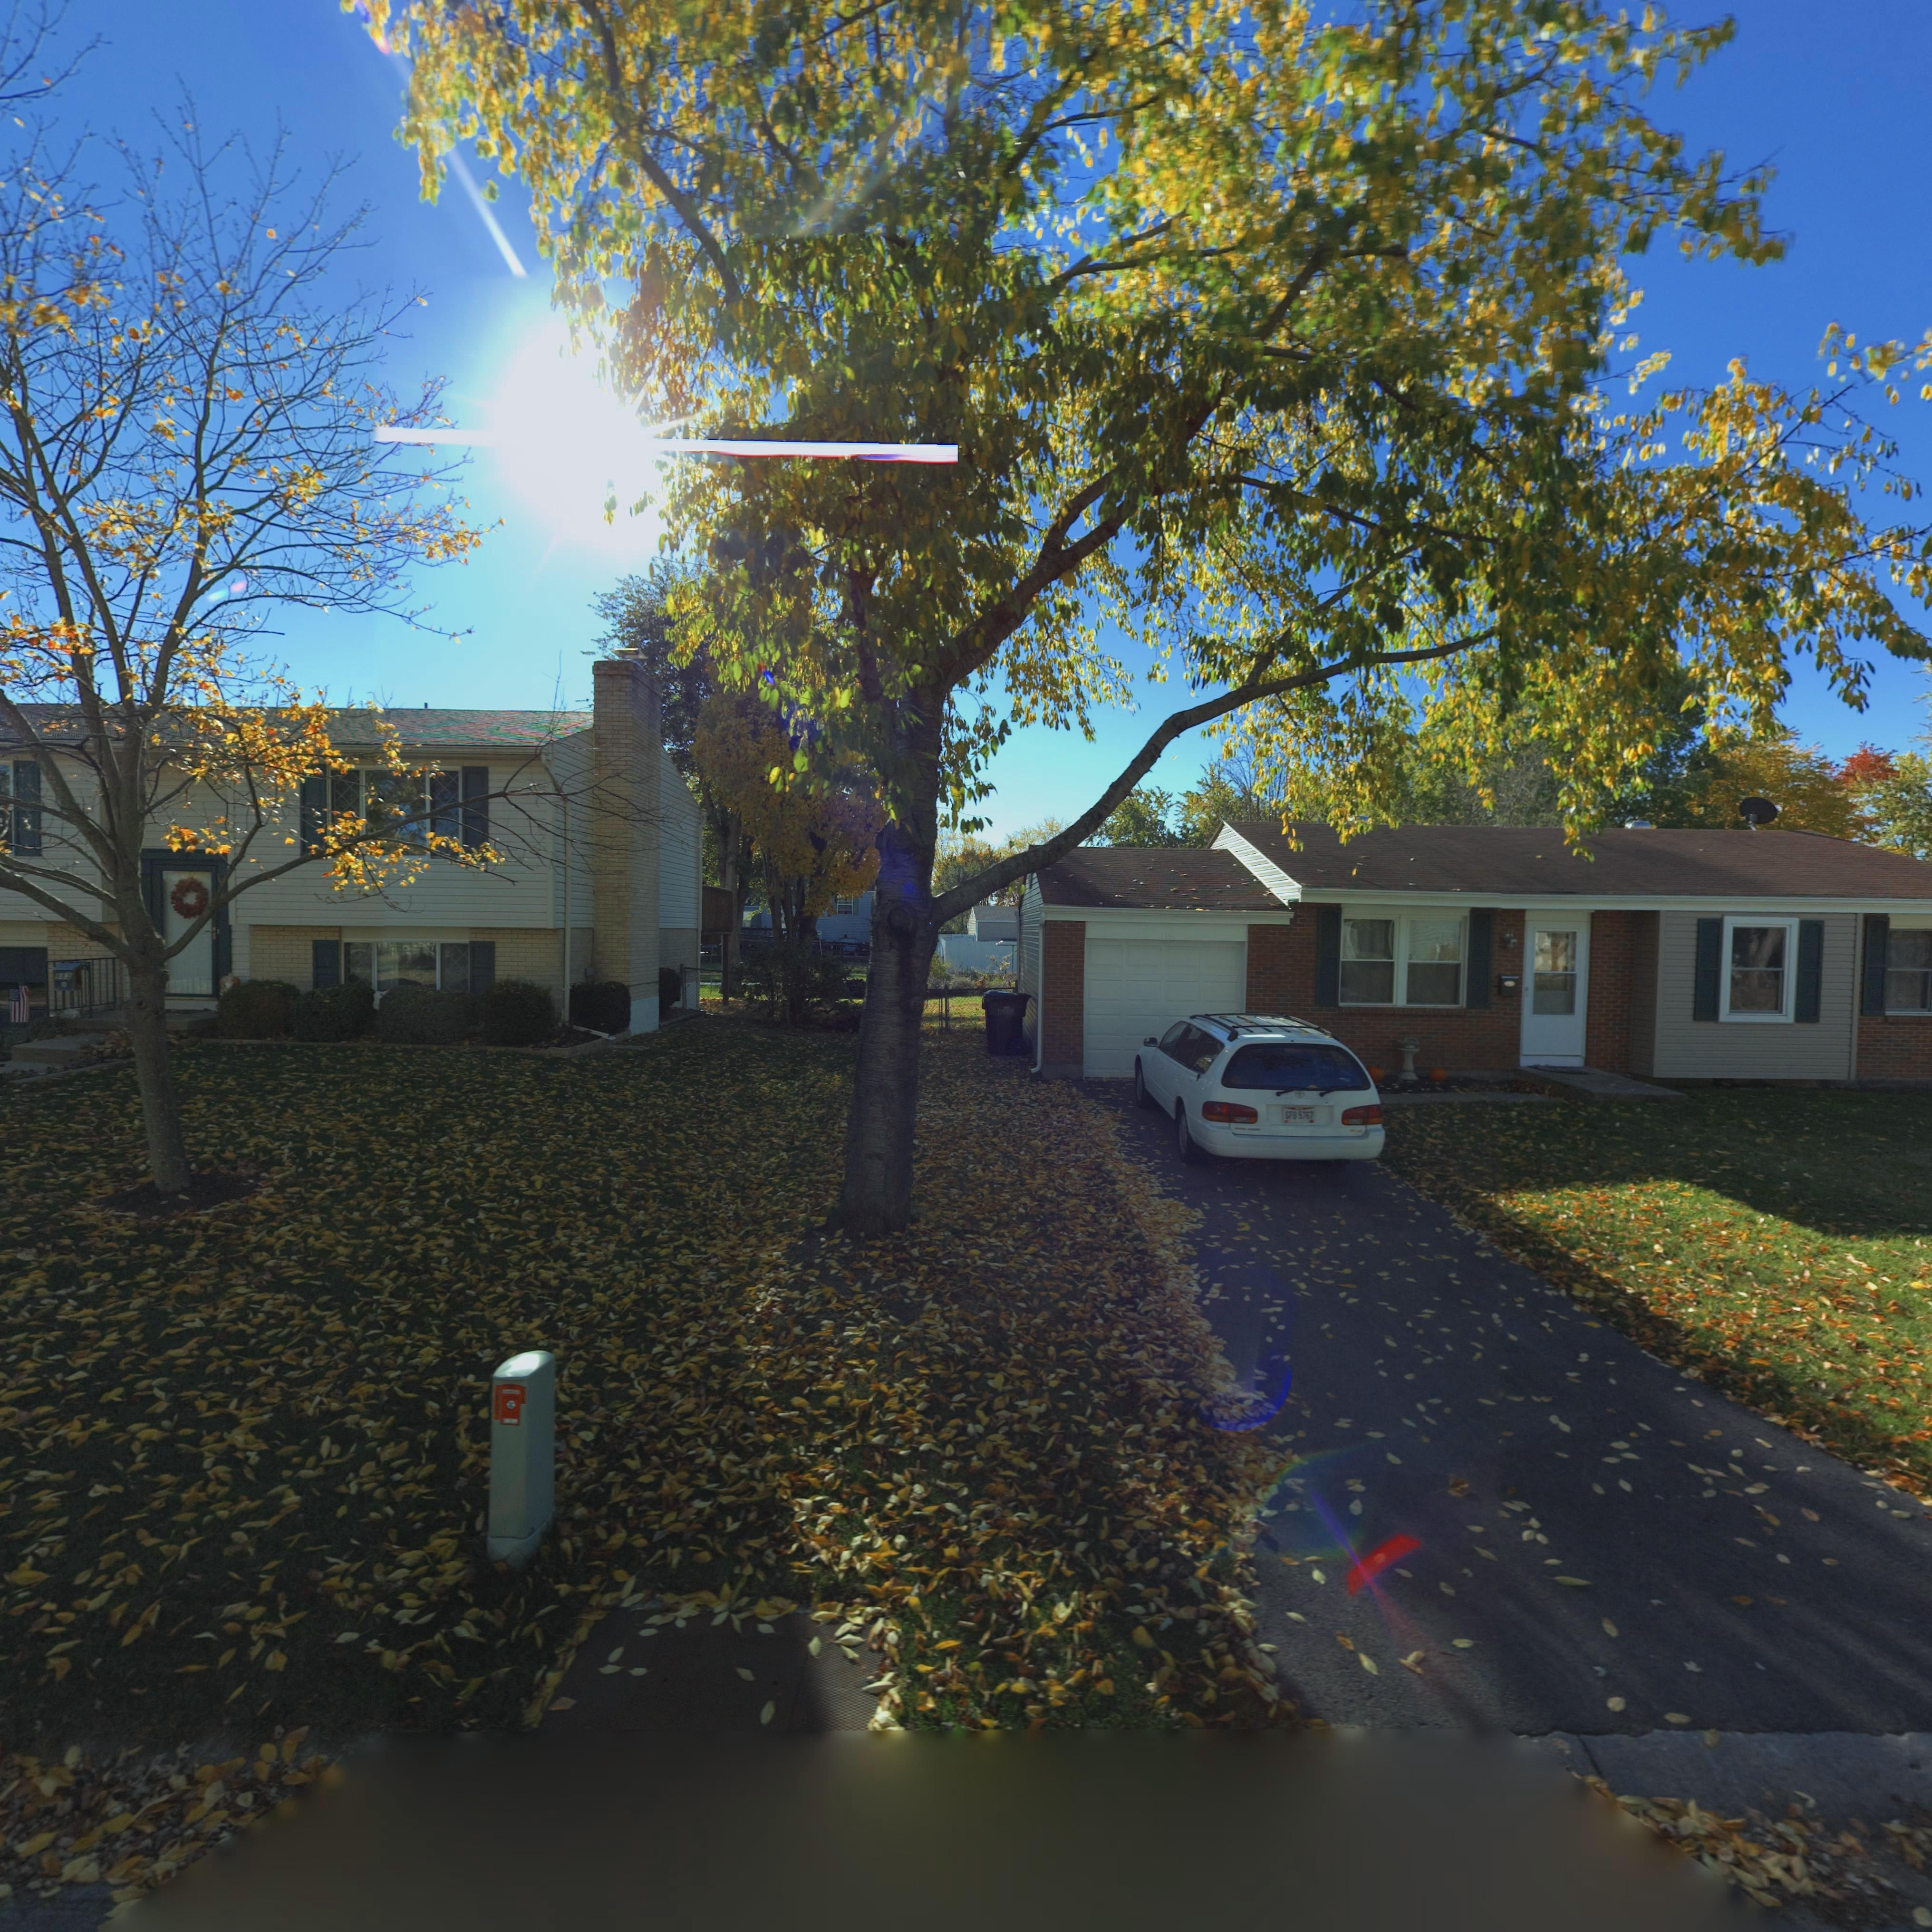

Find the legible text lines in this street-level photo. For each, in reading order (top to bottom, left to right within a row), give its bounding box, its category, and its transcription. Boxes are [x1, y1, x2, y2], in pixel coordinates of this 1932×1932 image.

[55, 973, 72, 979] StreetNumber: 113